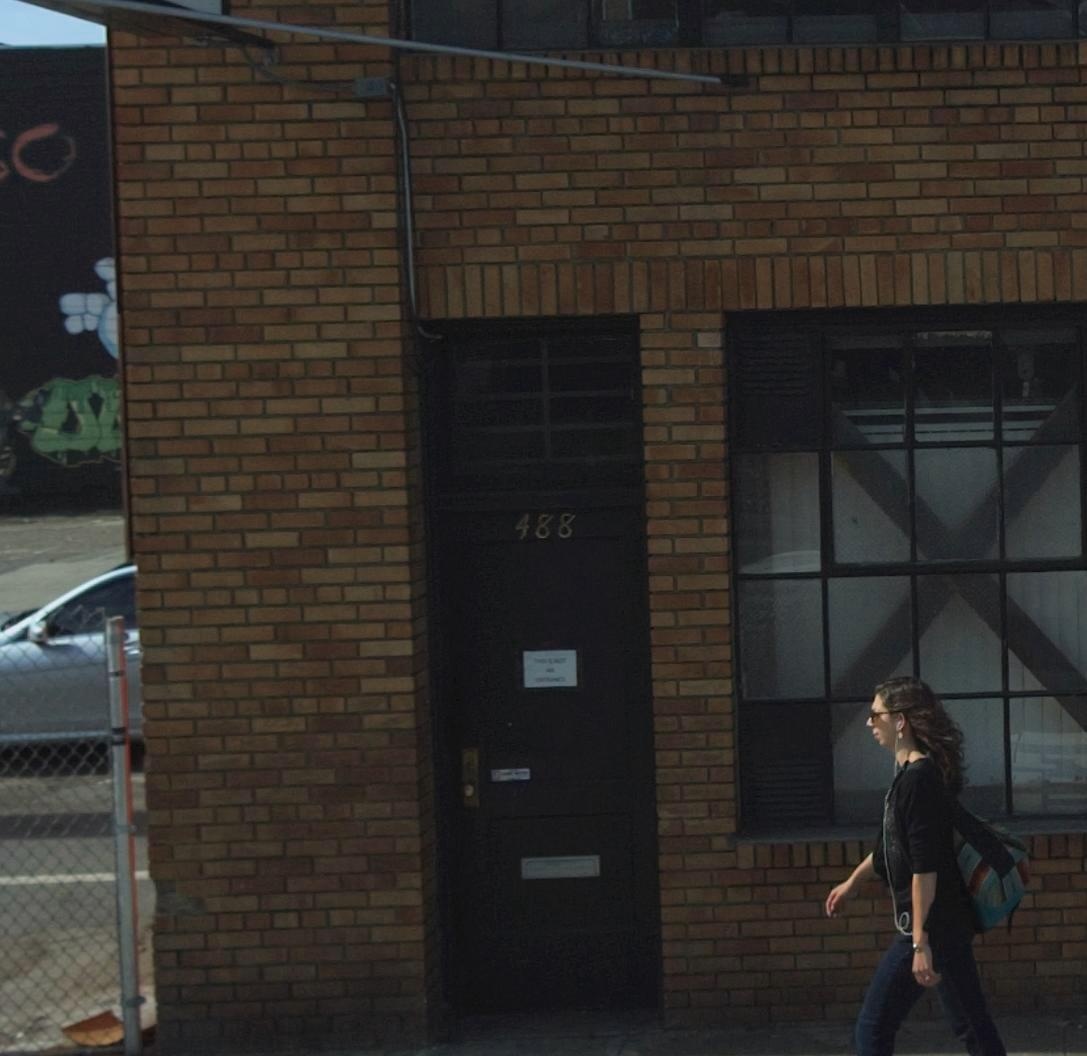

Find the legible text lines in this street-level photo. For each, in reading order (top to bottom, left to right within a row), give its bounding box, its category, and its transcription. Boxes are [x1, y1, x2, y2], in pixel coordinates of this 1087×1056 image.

[8, 118, 81, 187] None: O
[512, 510, 579, 543] StreetNumber: 488